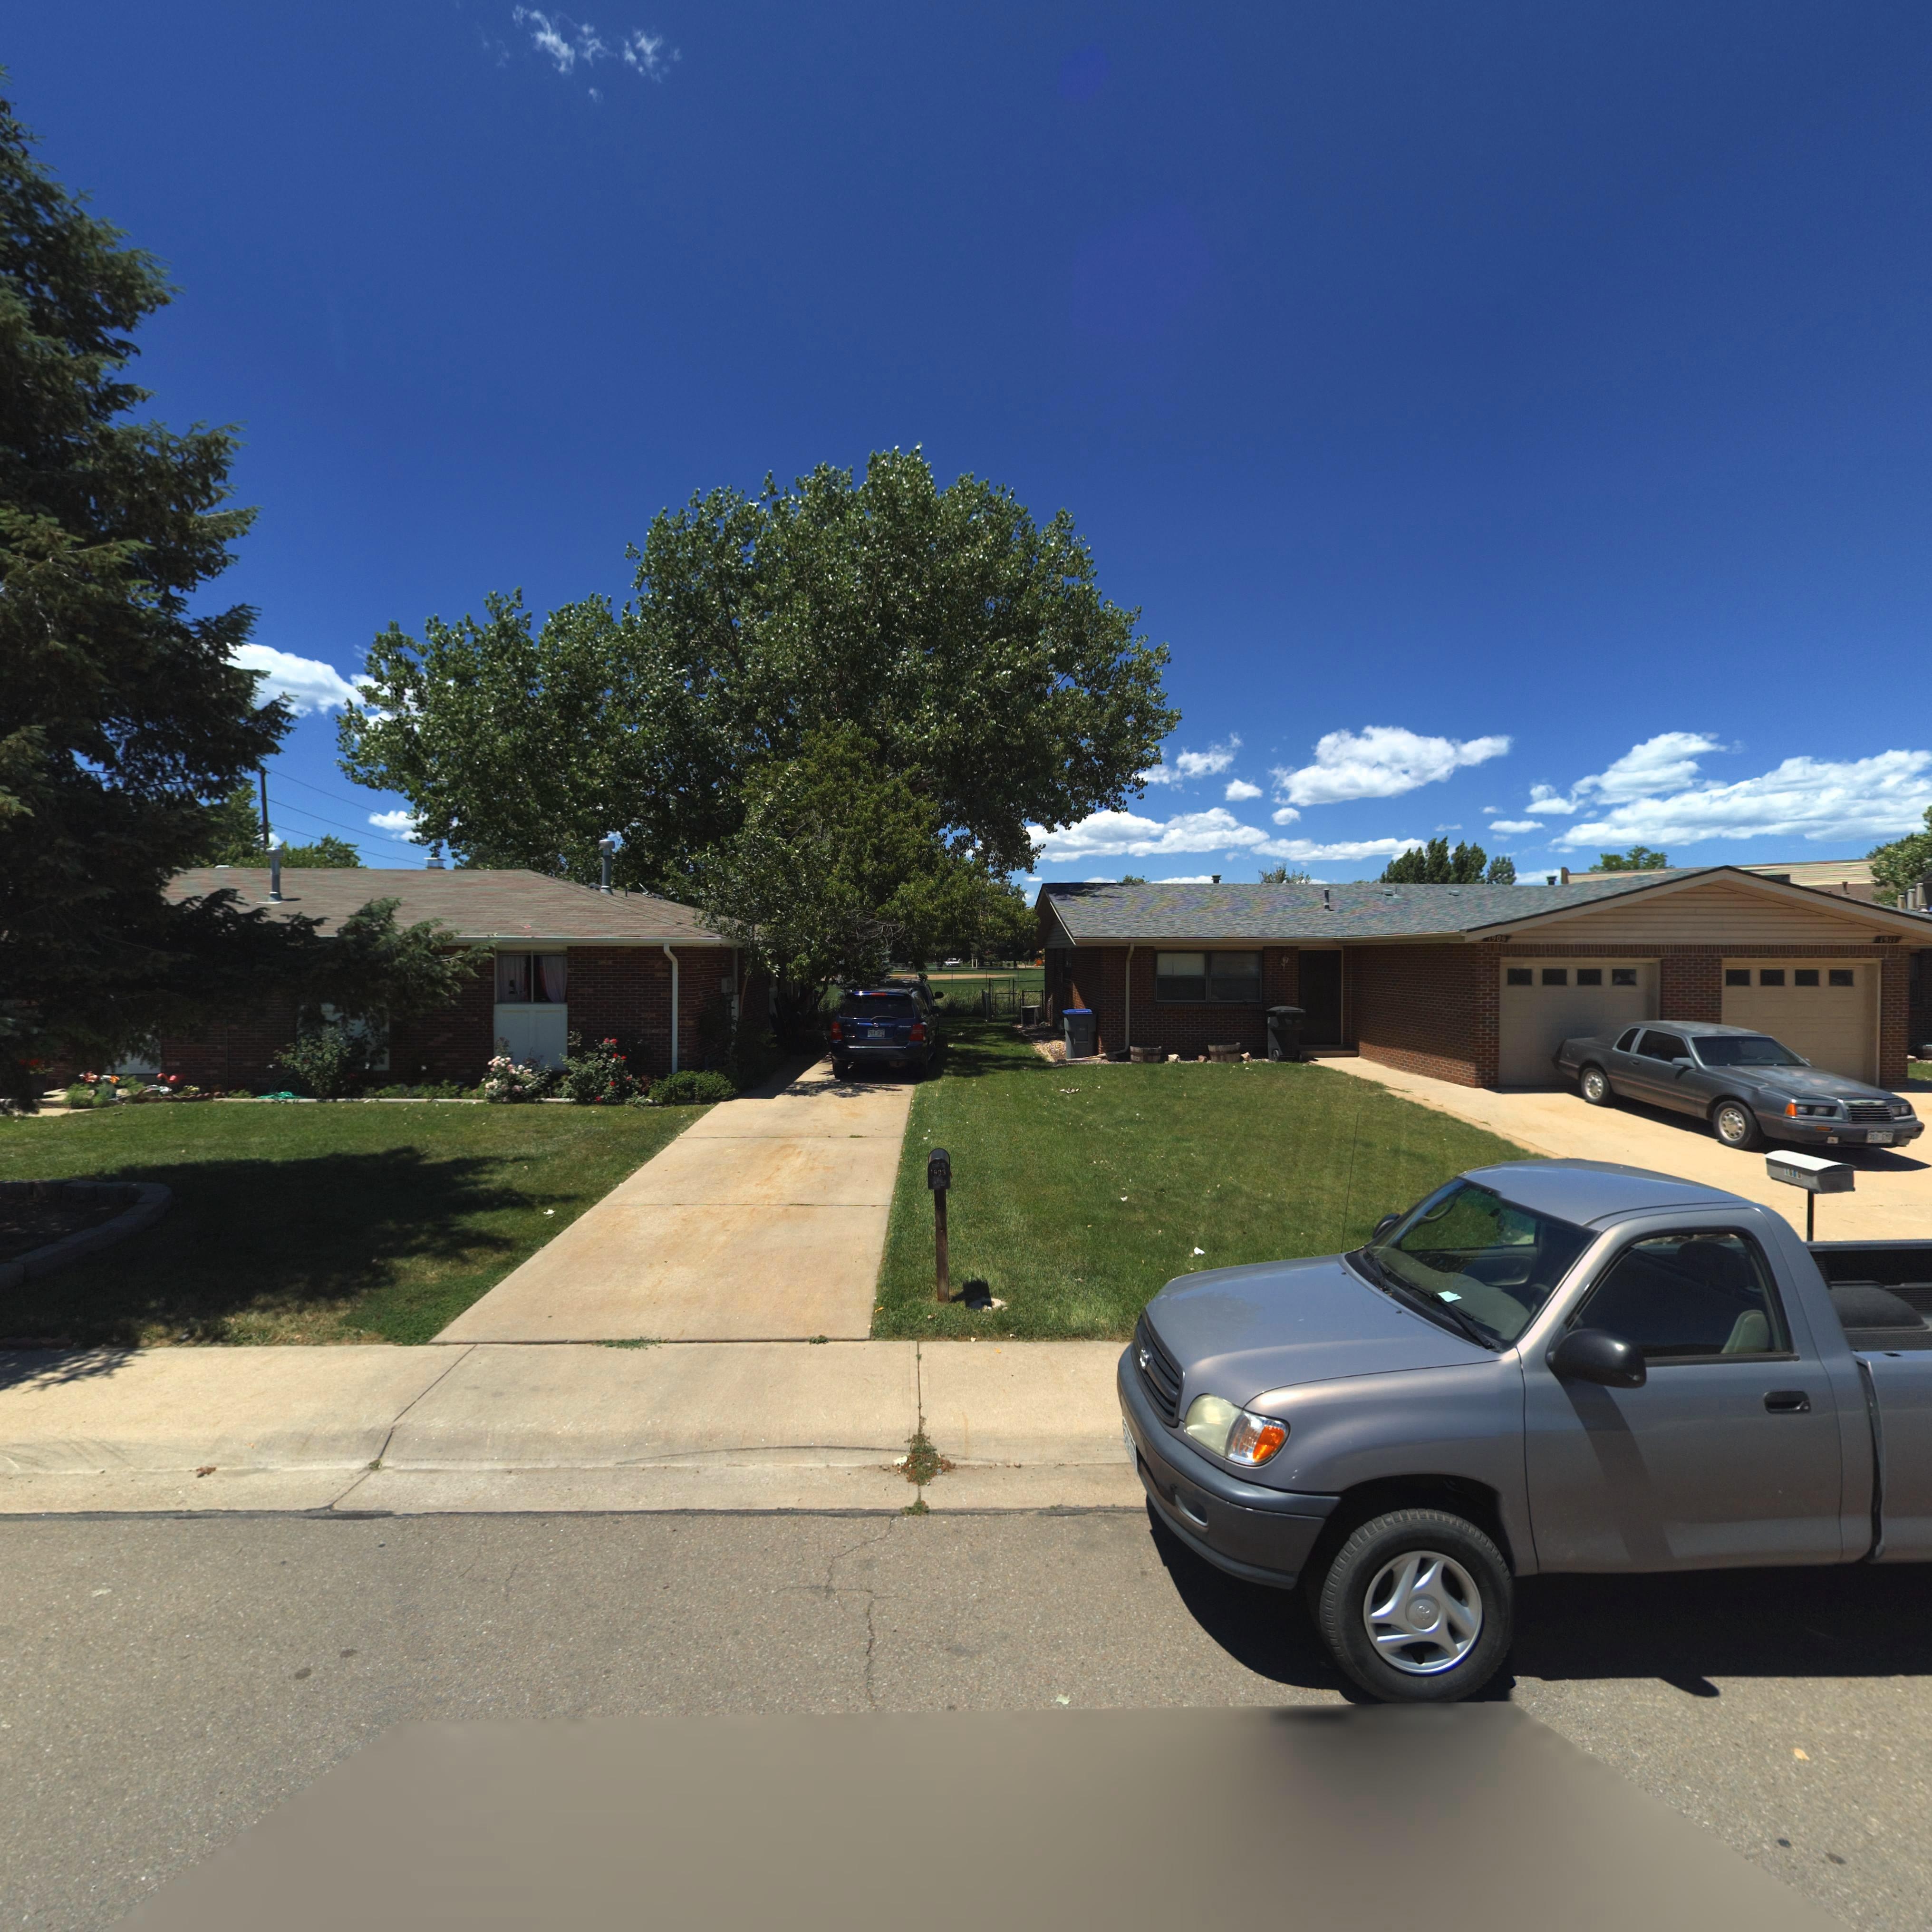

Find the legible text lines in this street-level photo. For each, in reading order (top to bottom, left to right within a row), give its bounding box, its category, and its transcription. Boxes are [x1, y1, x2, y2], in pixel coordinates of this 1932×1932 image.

[1488, 935, 1507, 942] StreetNumber: 1909
[1879, 937, 1896, 943] StreetNumber: 1911
[930, 1169, 946, 1176] StreetNumber: 1803
[1785, 1167, 1800, 1179] StreetNumber: 1*0*